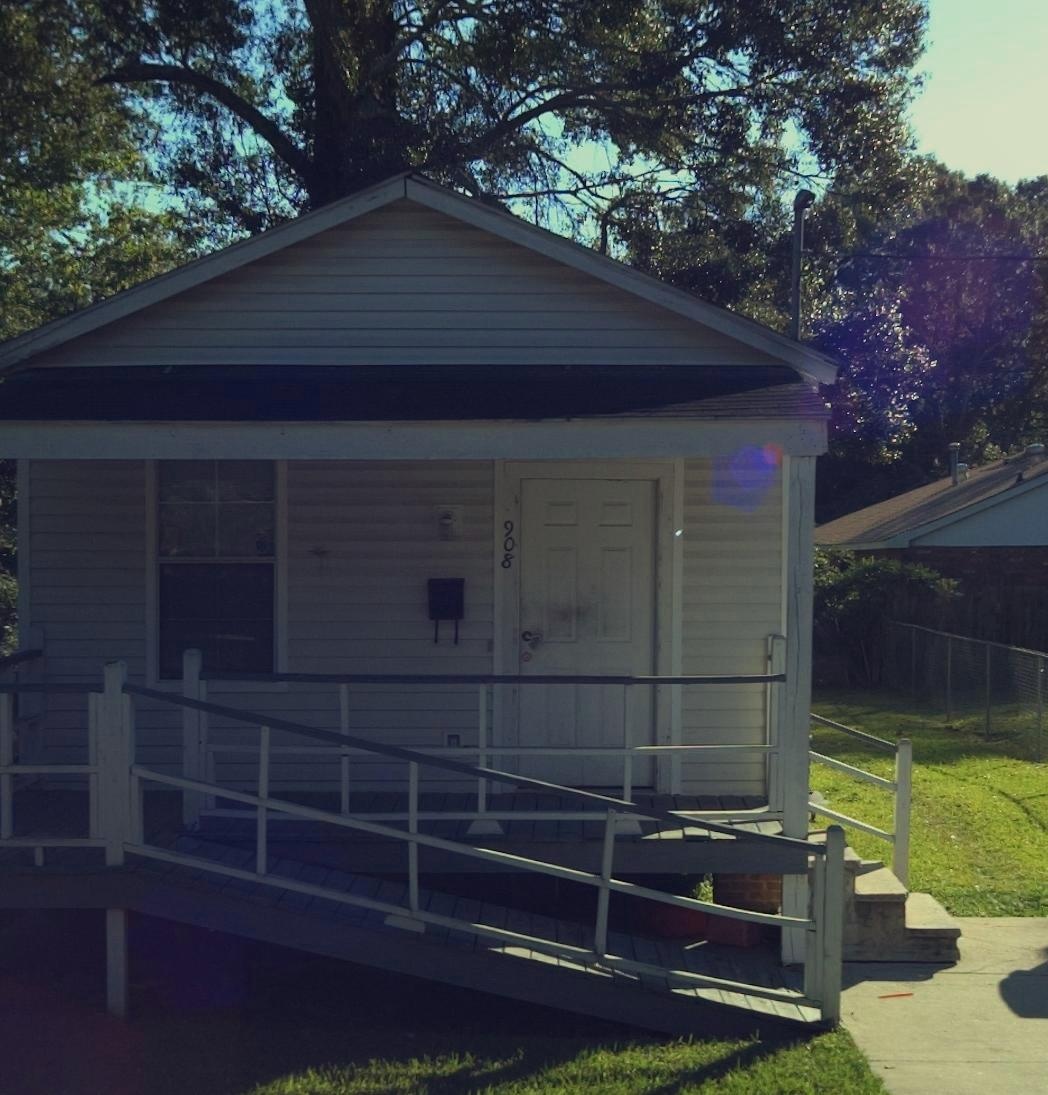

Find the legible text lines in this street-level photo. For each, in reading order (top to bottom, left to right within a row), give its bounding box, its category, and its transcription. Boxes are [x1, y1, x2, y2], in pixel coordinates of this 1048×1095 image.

[499, 518, 517, 570] StreetNumber: 908